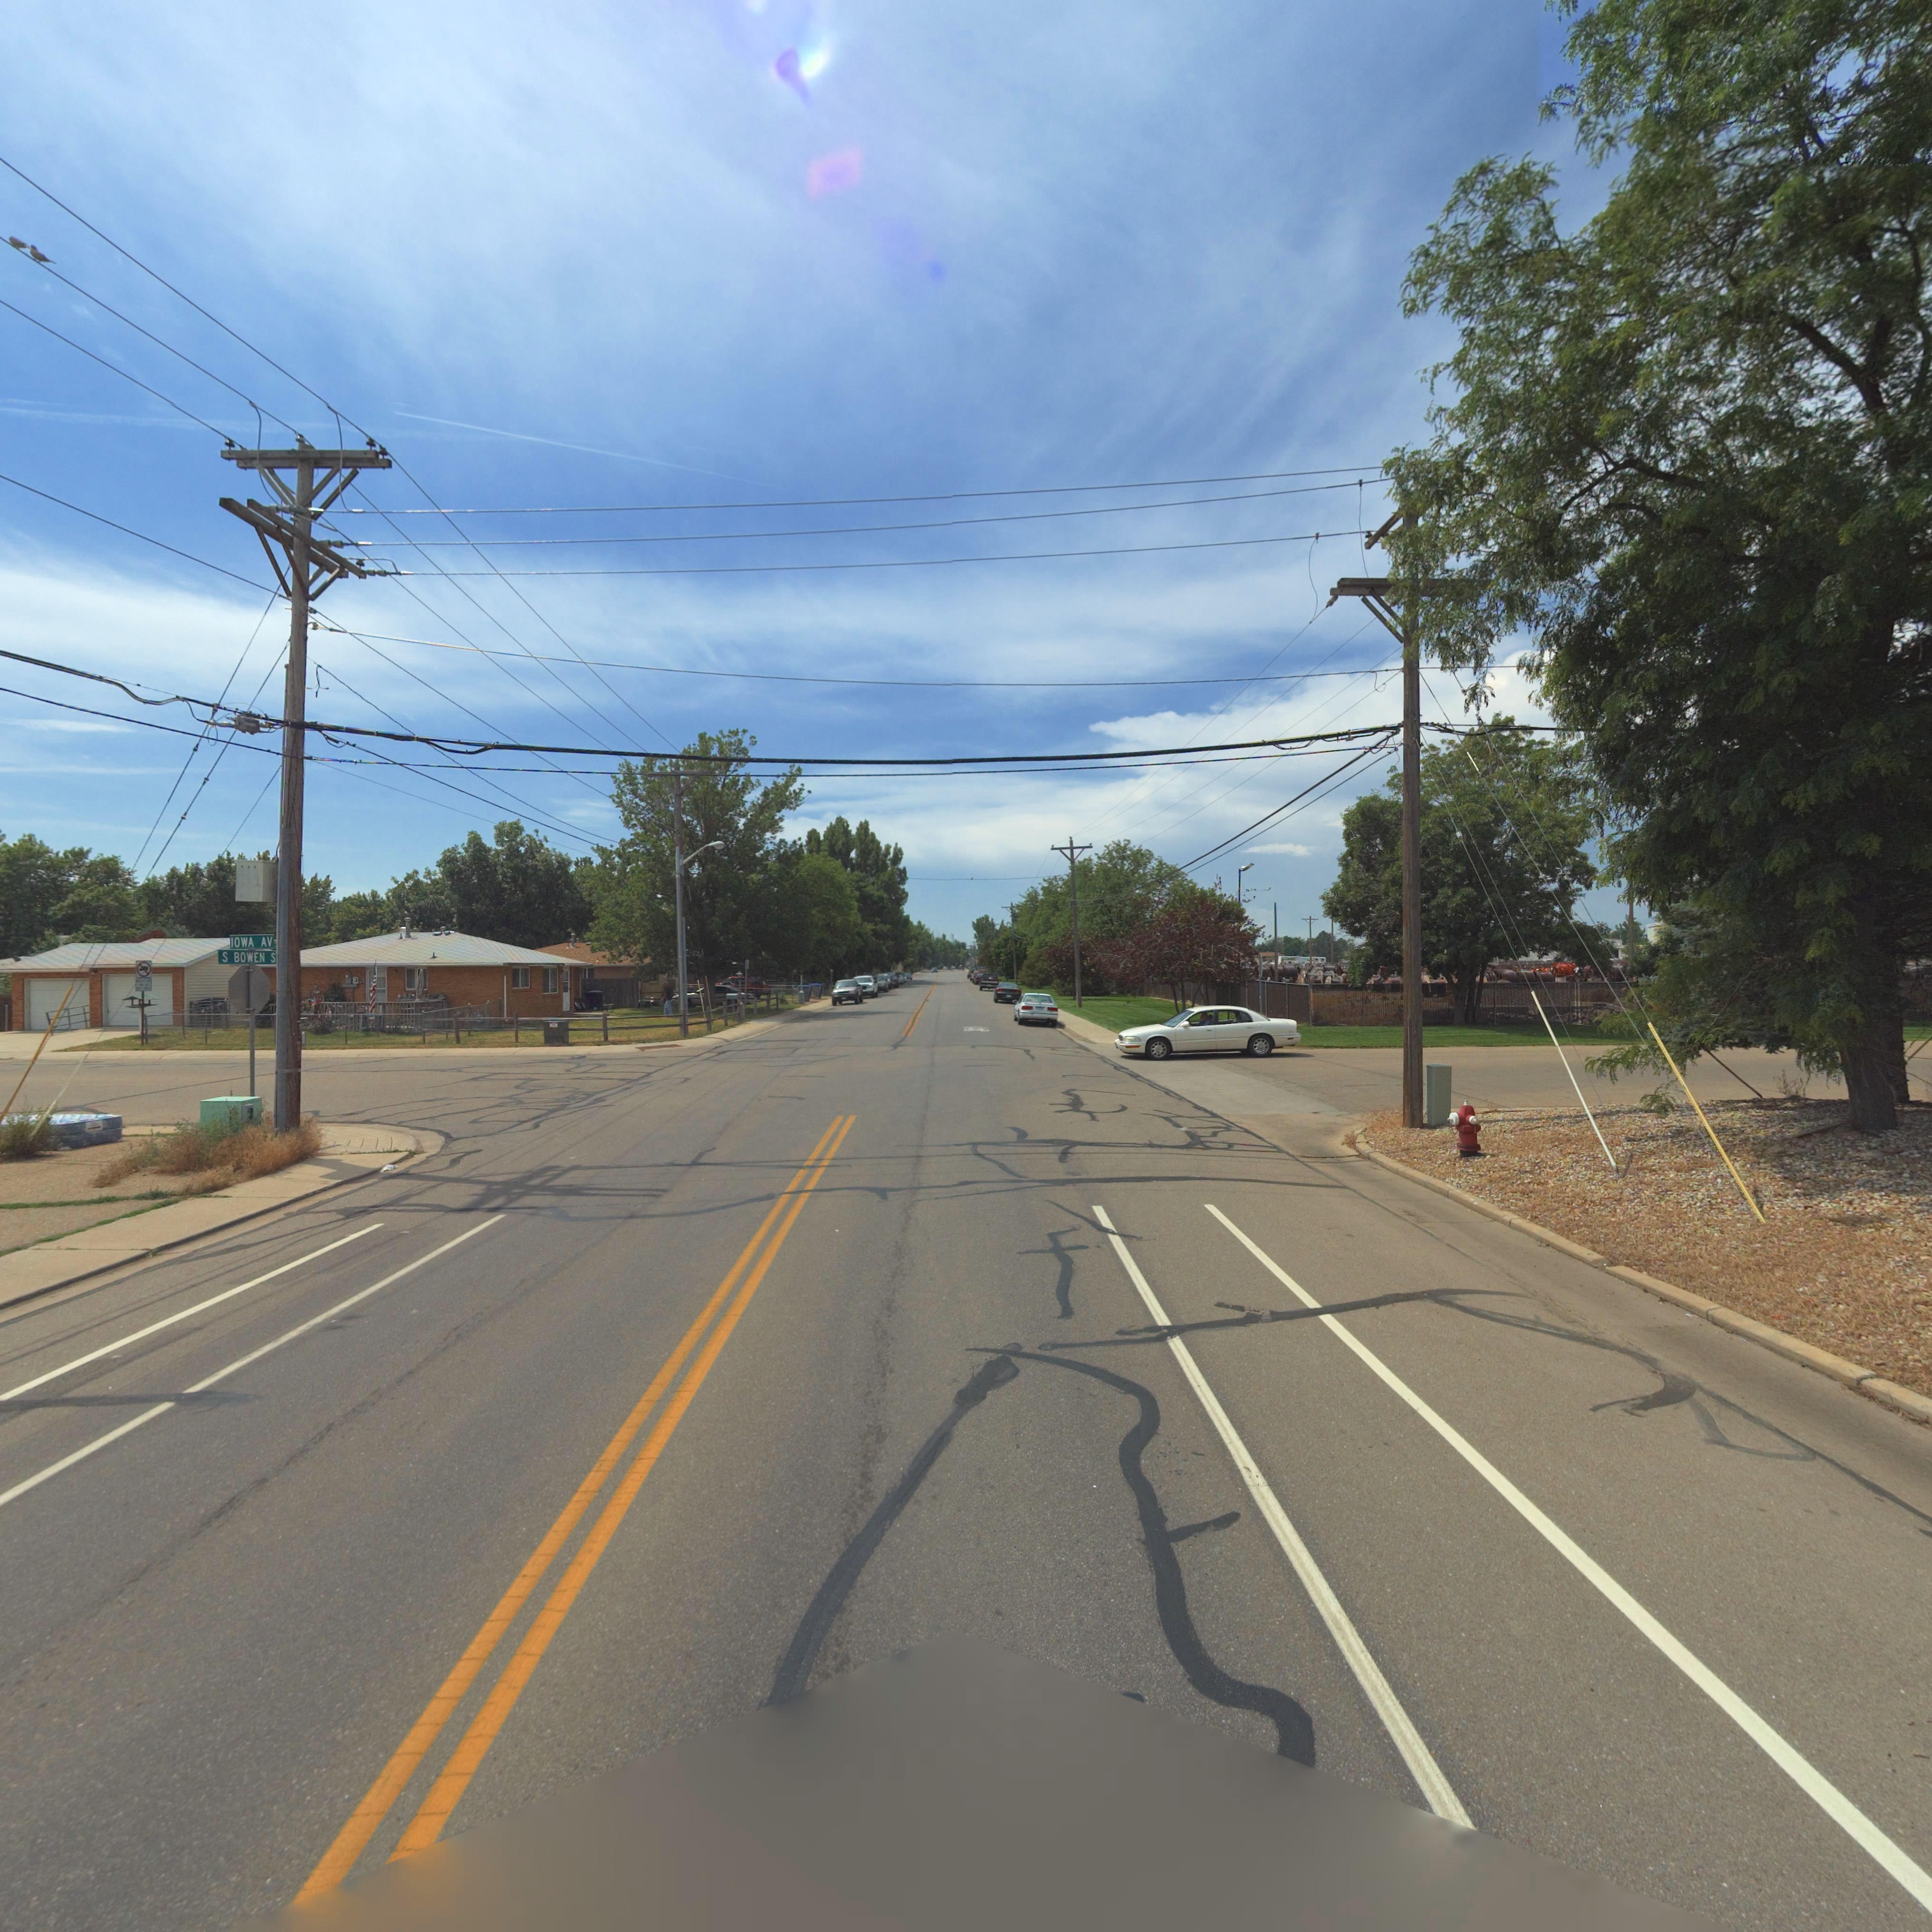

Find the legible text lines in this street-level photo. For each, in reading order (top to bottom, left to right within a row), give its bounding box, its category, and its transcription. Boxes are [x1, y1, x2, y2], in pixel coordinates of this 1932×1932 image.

[231, 936, 273, 947] StreetName: IOWA AV
[222, 951, 277, 962] StreetName: S BOWEN S